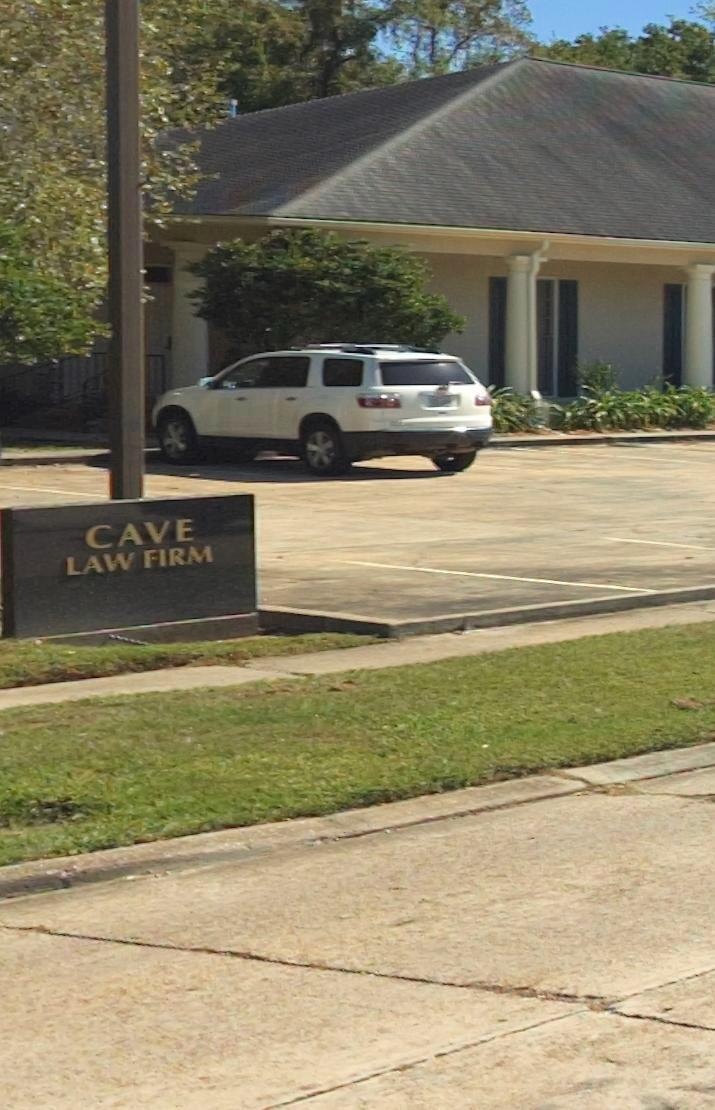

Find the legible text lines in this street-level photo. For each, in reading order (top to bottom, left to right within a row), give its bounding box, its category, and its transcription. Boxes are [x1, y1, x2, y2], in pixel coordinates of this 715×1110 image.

[81, 515, 197, 553] BusinessName: CAVE
[64, 542, 217, 580] BusinessName: LAW FIRM